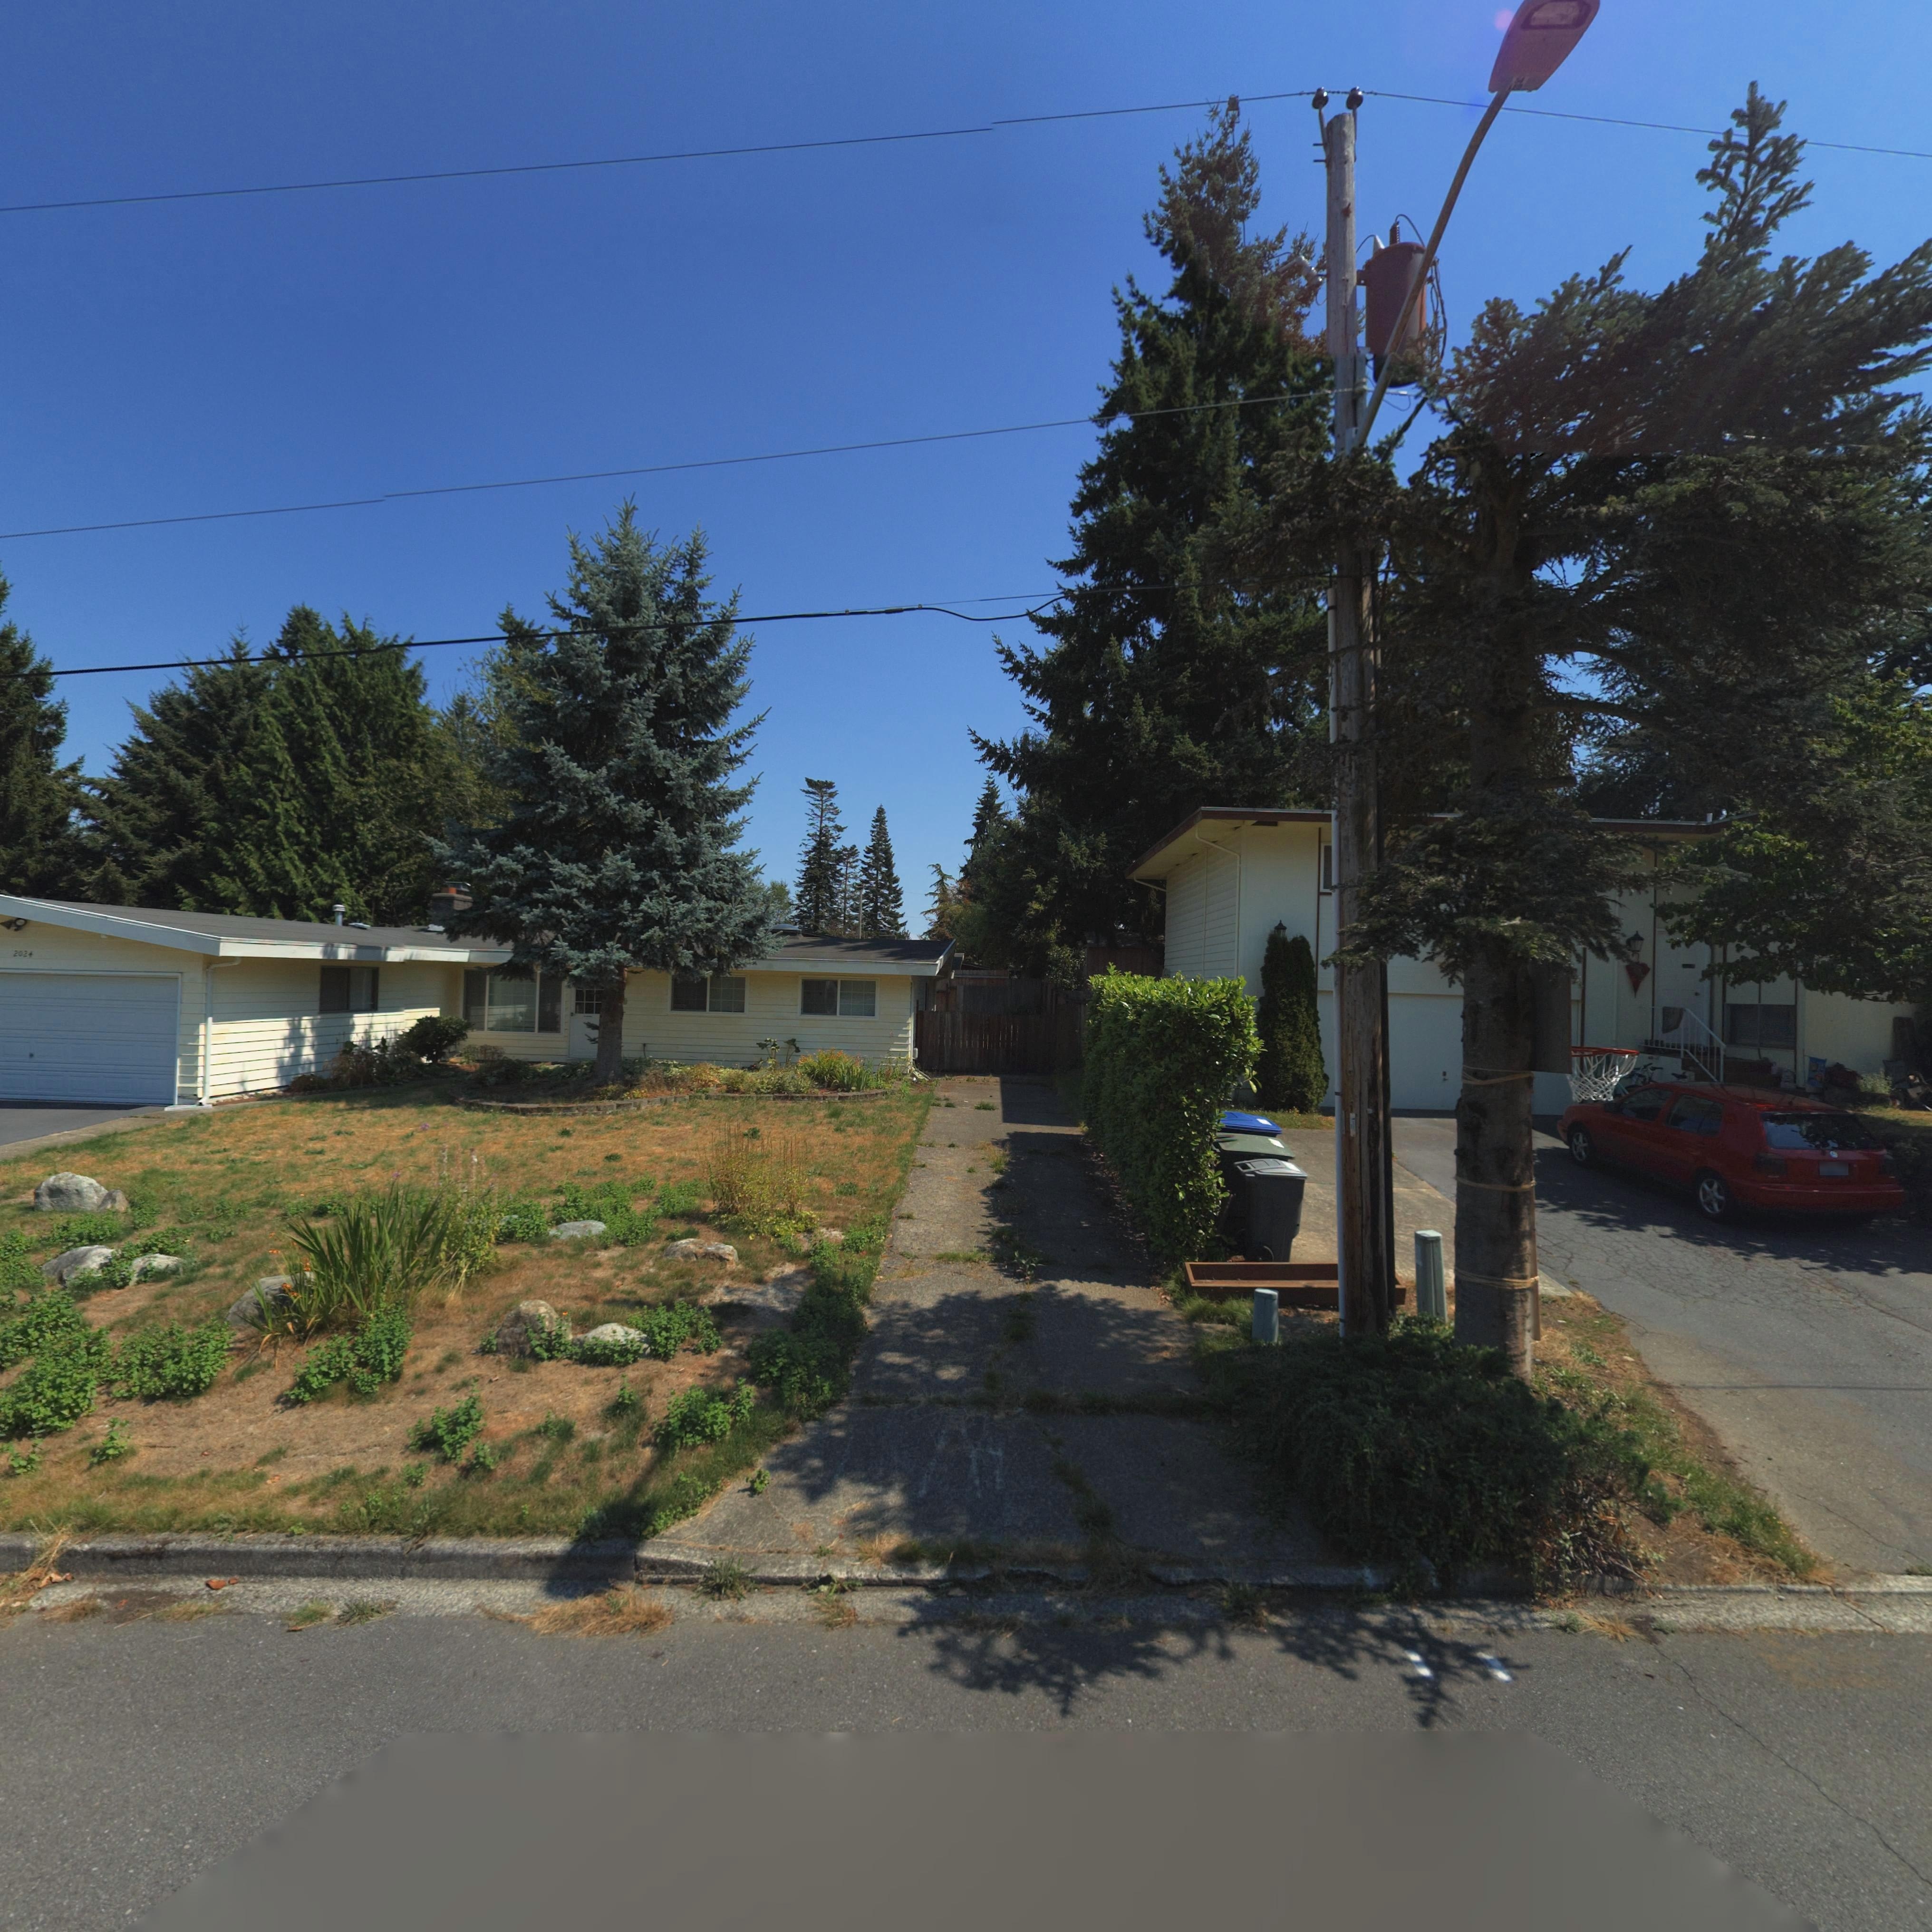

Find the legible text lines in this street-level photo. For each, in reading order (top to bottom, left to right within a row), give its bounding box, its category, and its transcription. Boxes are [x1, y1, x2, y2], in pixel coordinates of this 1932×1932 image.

[11, 947, 34, 958] StreetNumber: 2024